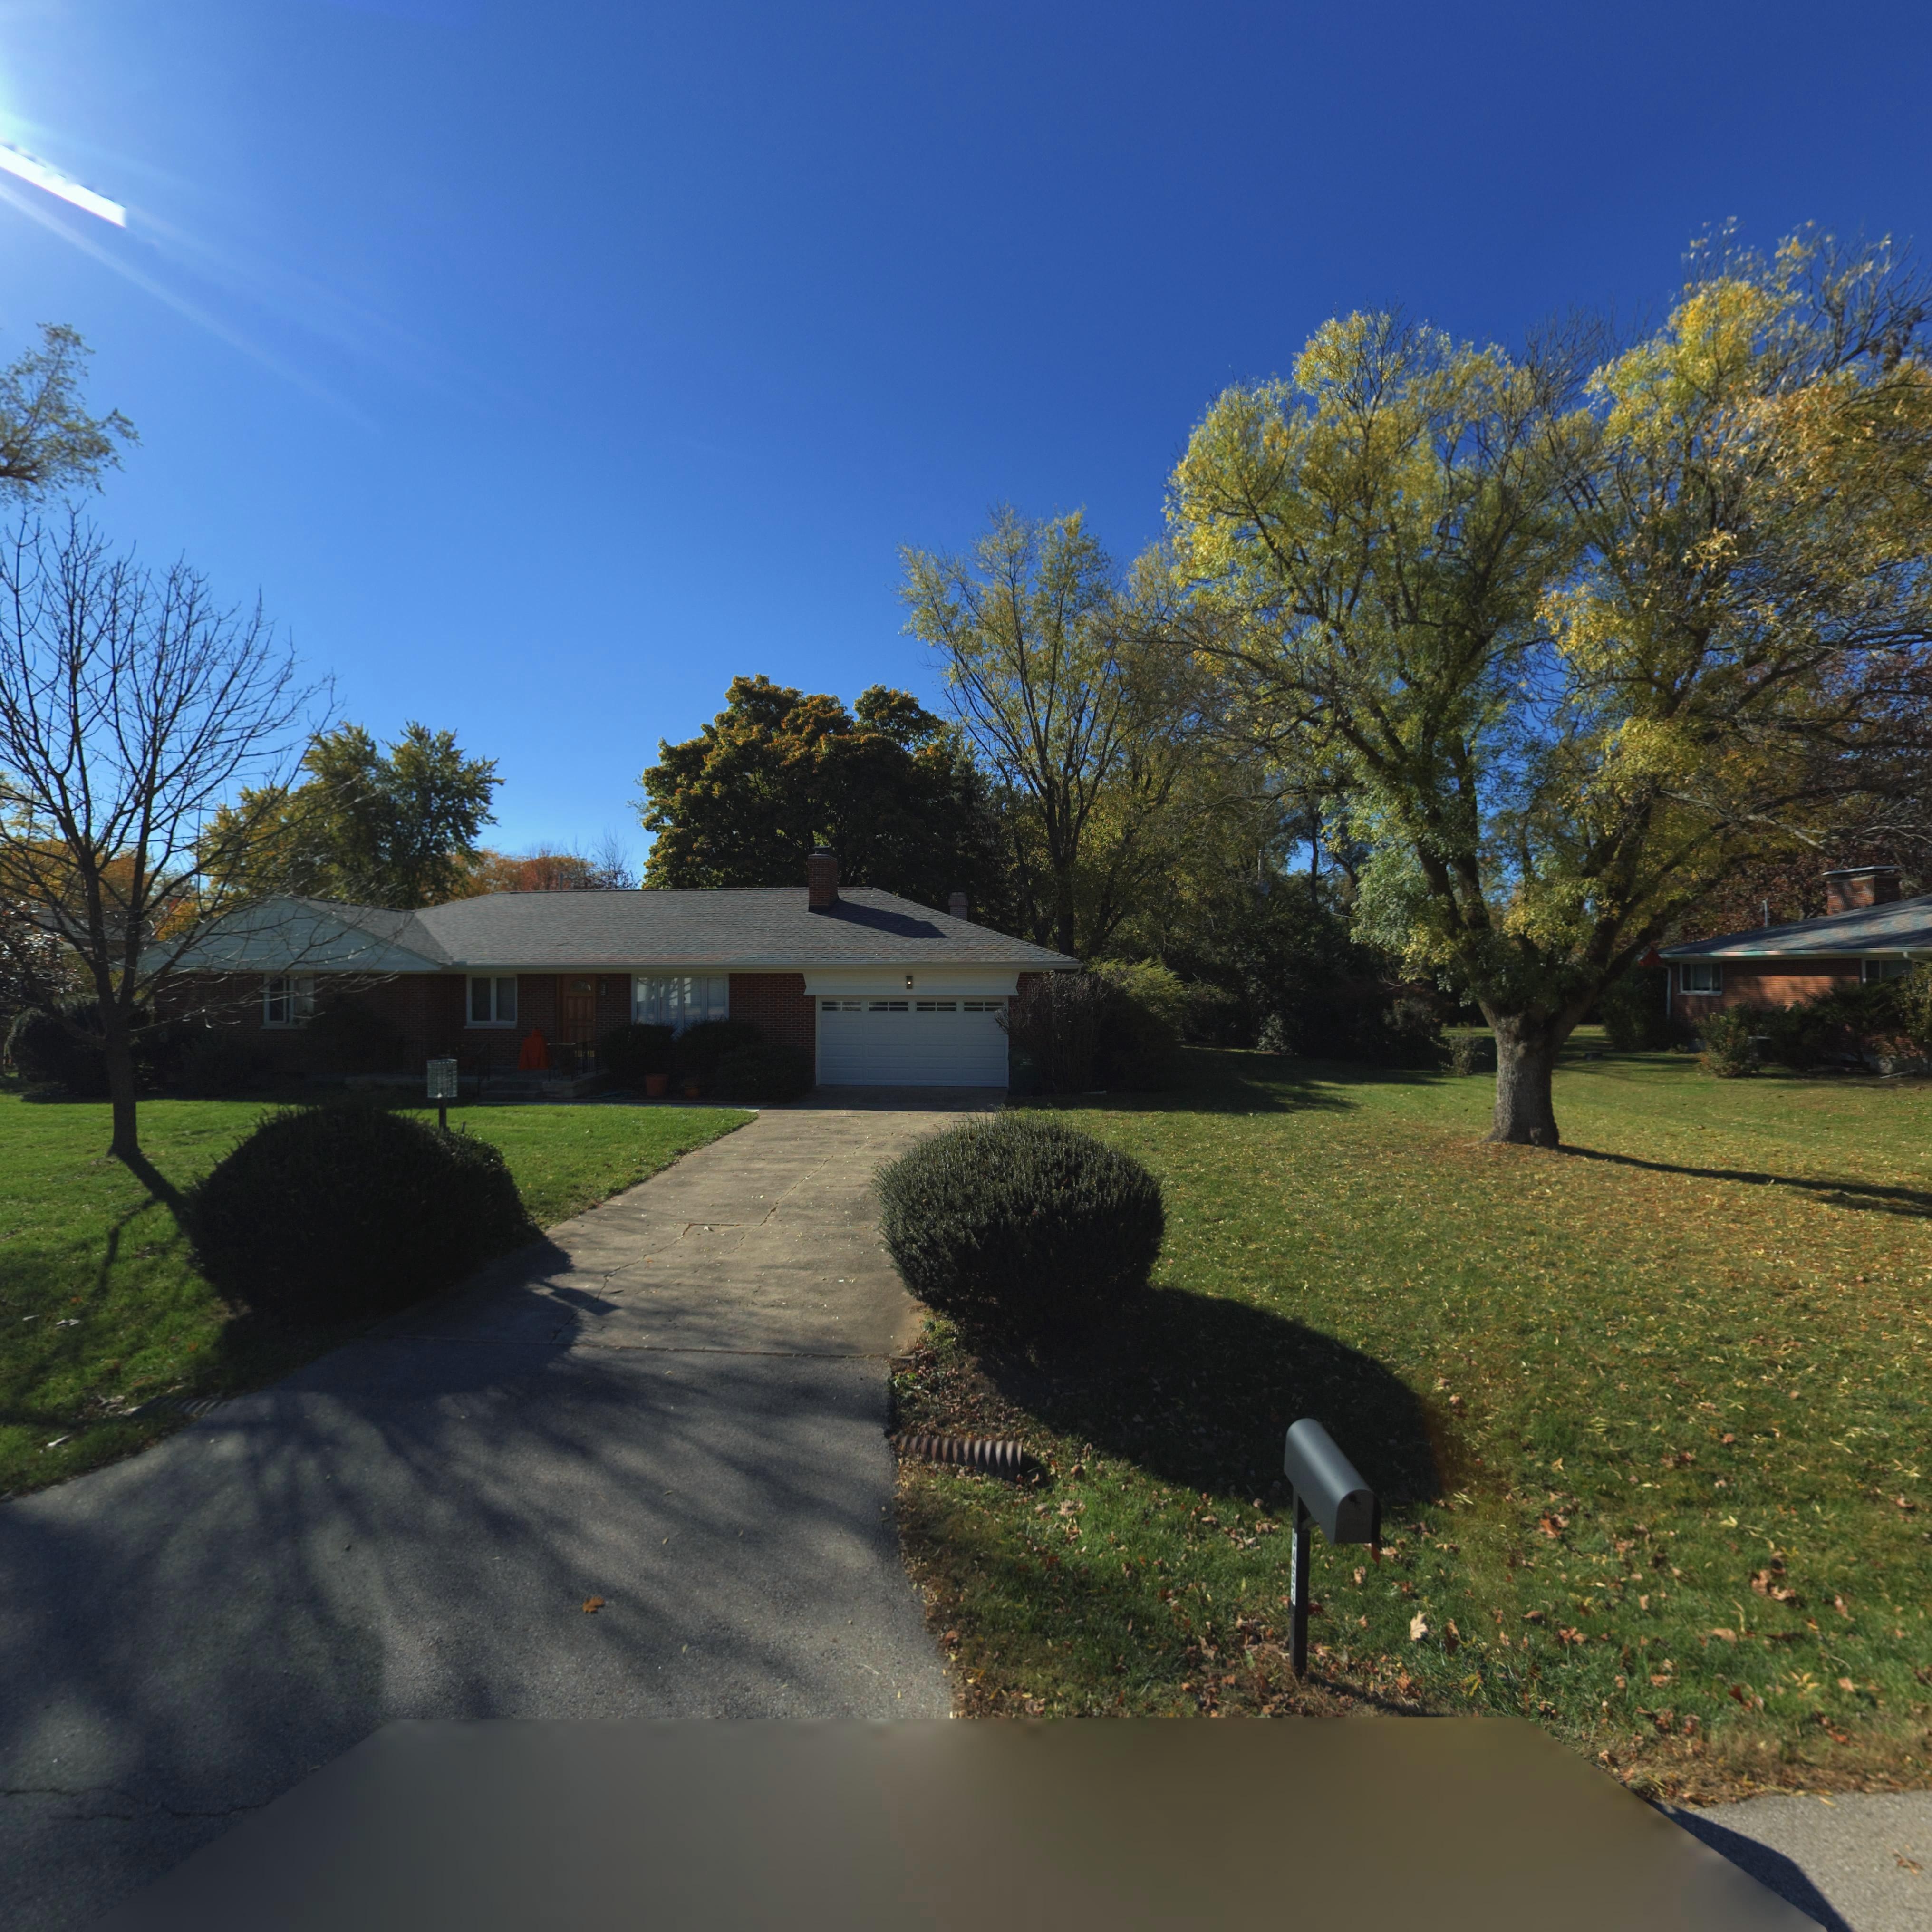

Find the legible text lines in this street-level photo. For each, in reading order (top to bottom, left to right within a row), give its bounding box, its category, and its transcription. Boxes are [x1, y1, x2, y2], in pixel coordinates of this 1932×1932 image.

[1290, 1527, 1297, 1606] StreetNumber: 6453